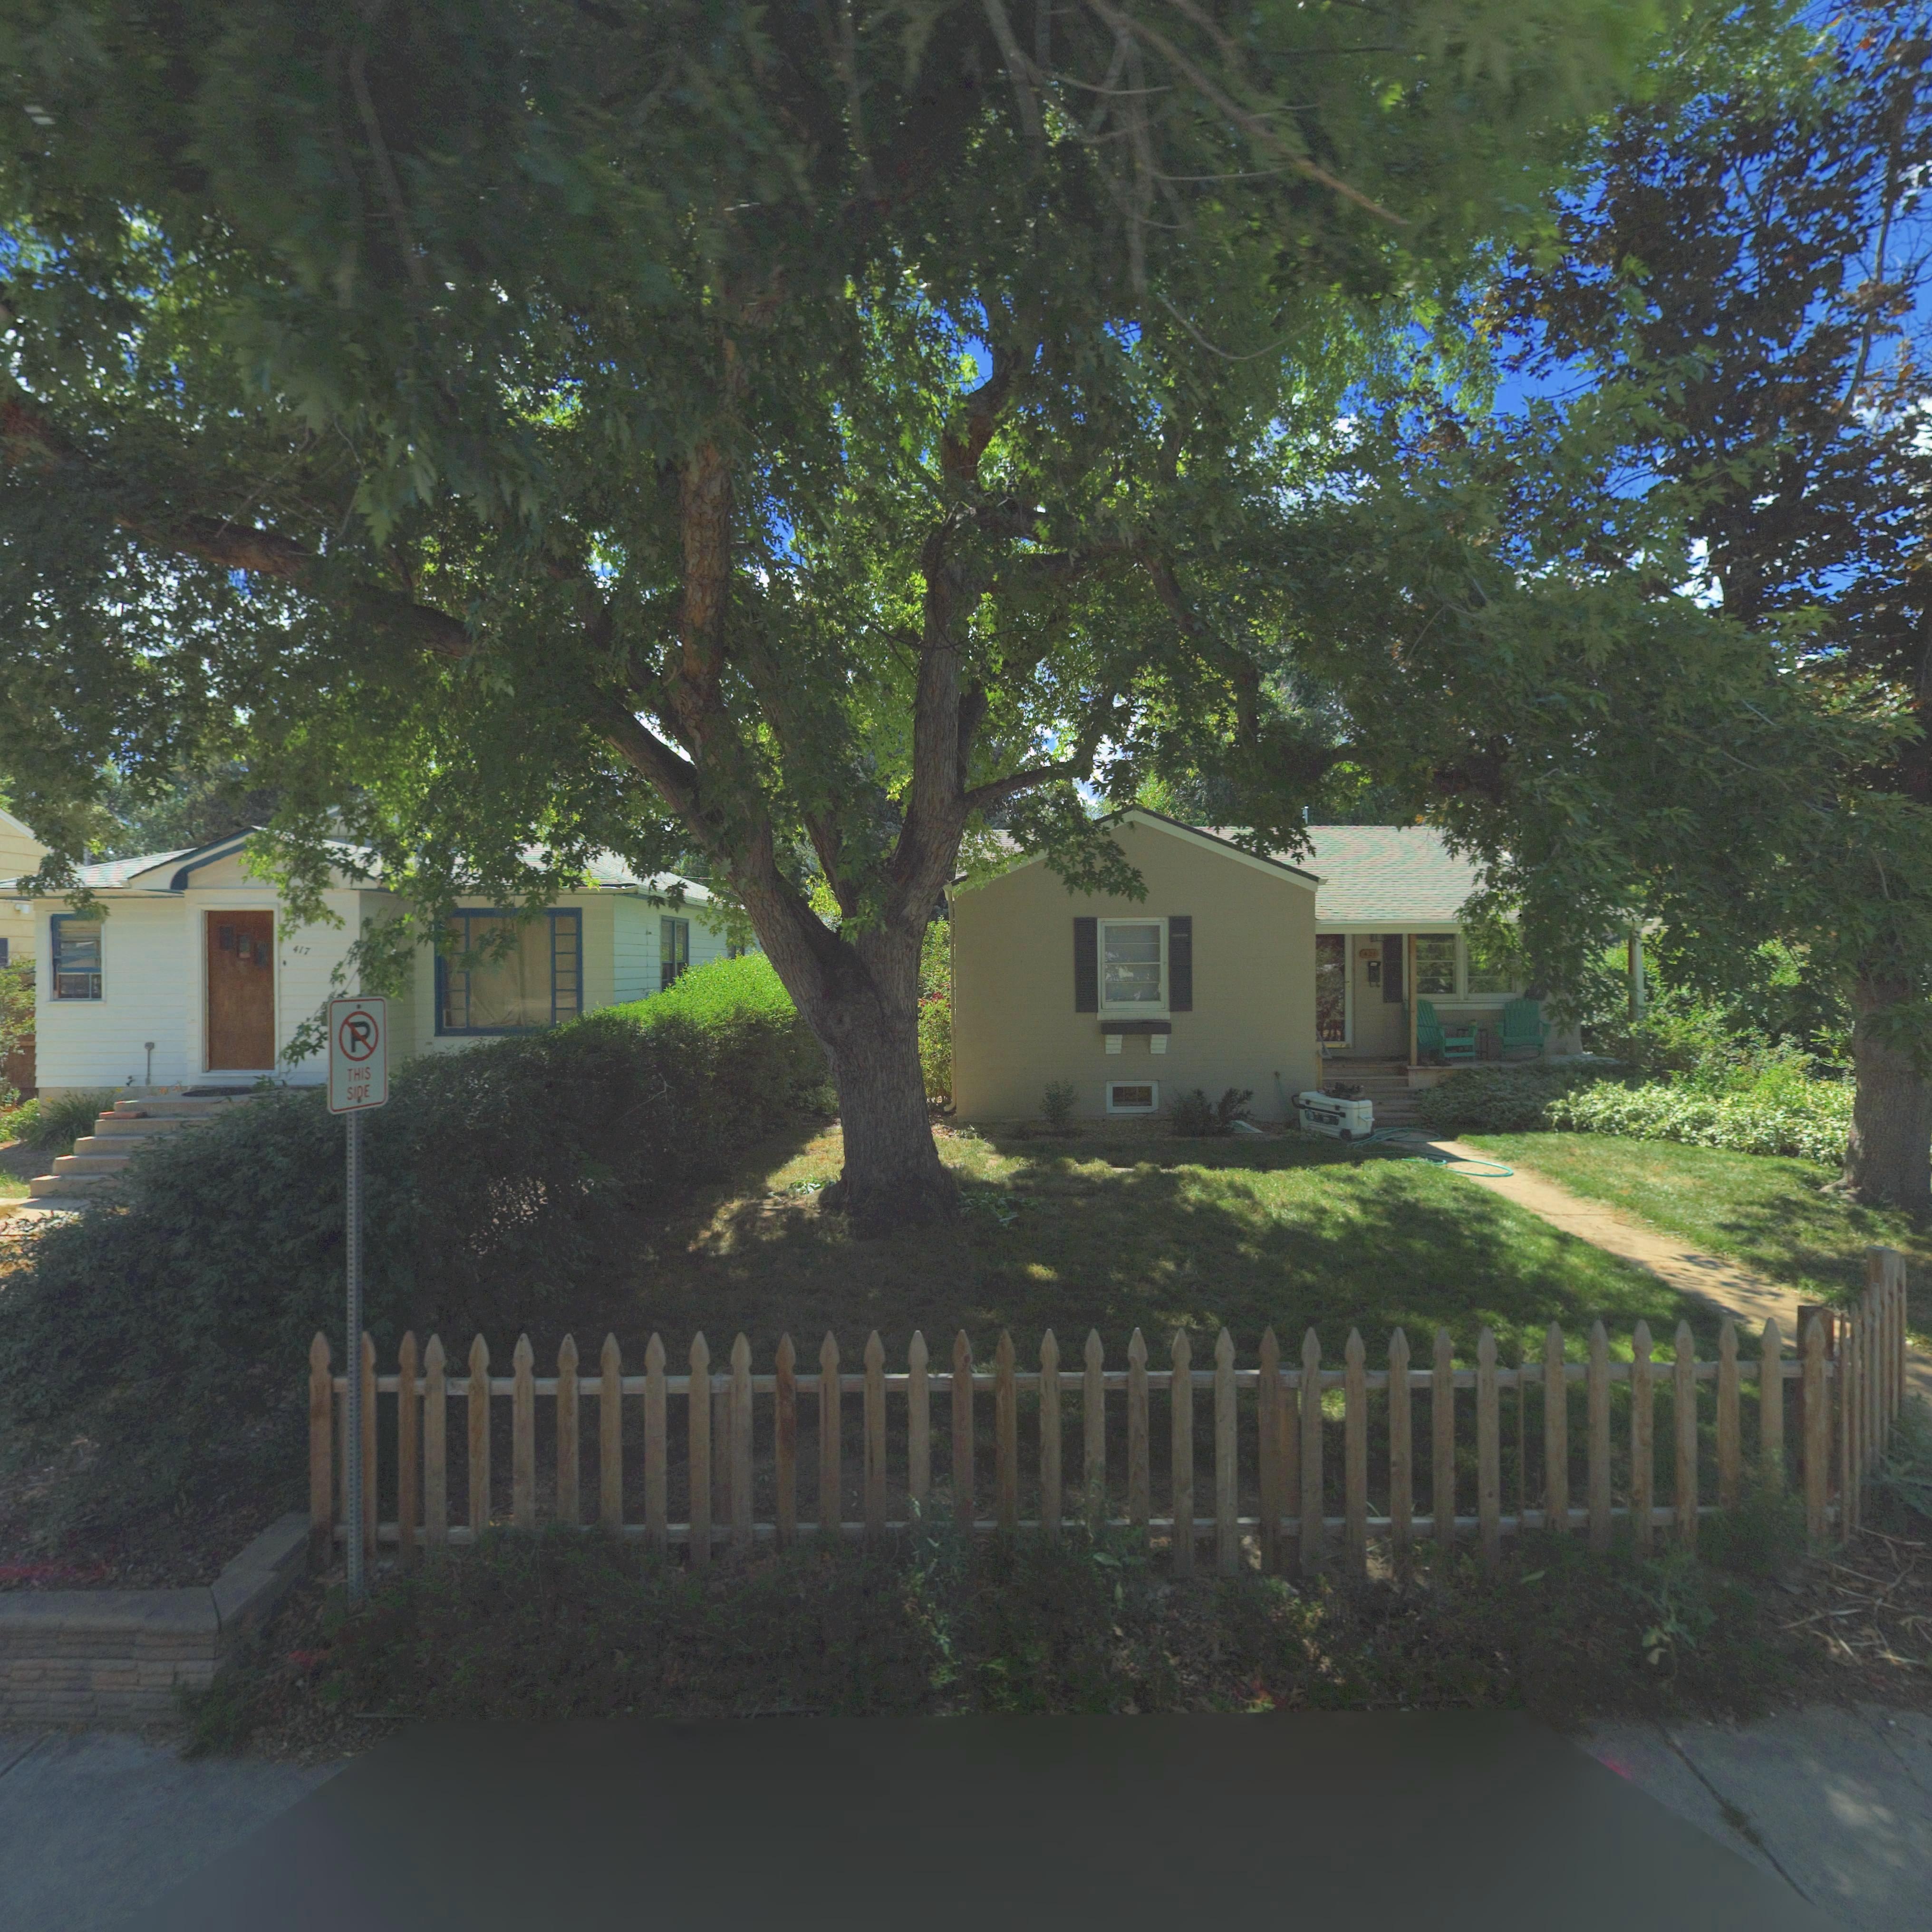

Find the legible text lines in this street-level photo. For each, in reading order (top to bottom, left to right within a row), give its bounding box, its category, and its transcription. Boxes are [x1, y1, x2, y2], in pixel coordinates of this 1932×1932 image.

[292, 945, 311, 956] StreetNumber: 417
[1363, 950, 1377, 956] StreetNumber: 421